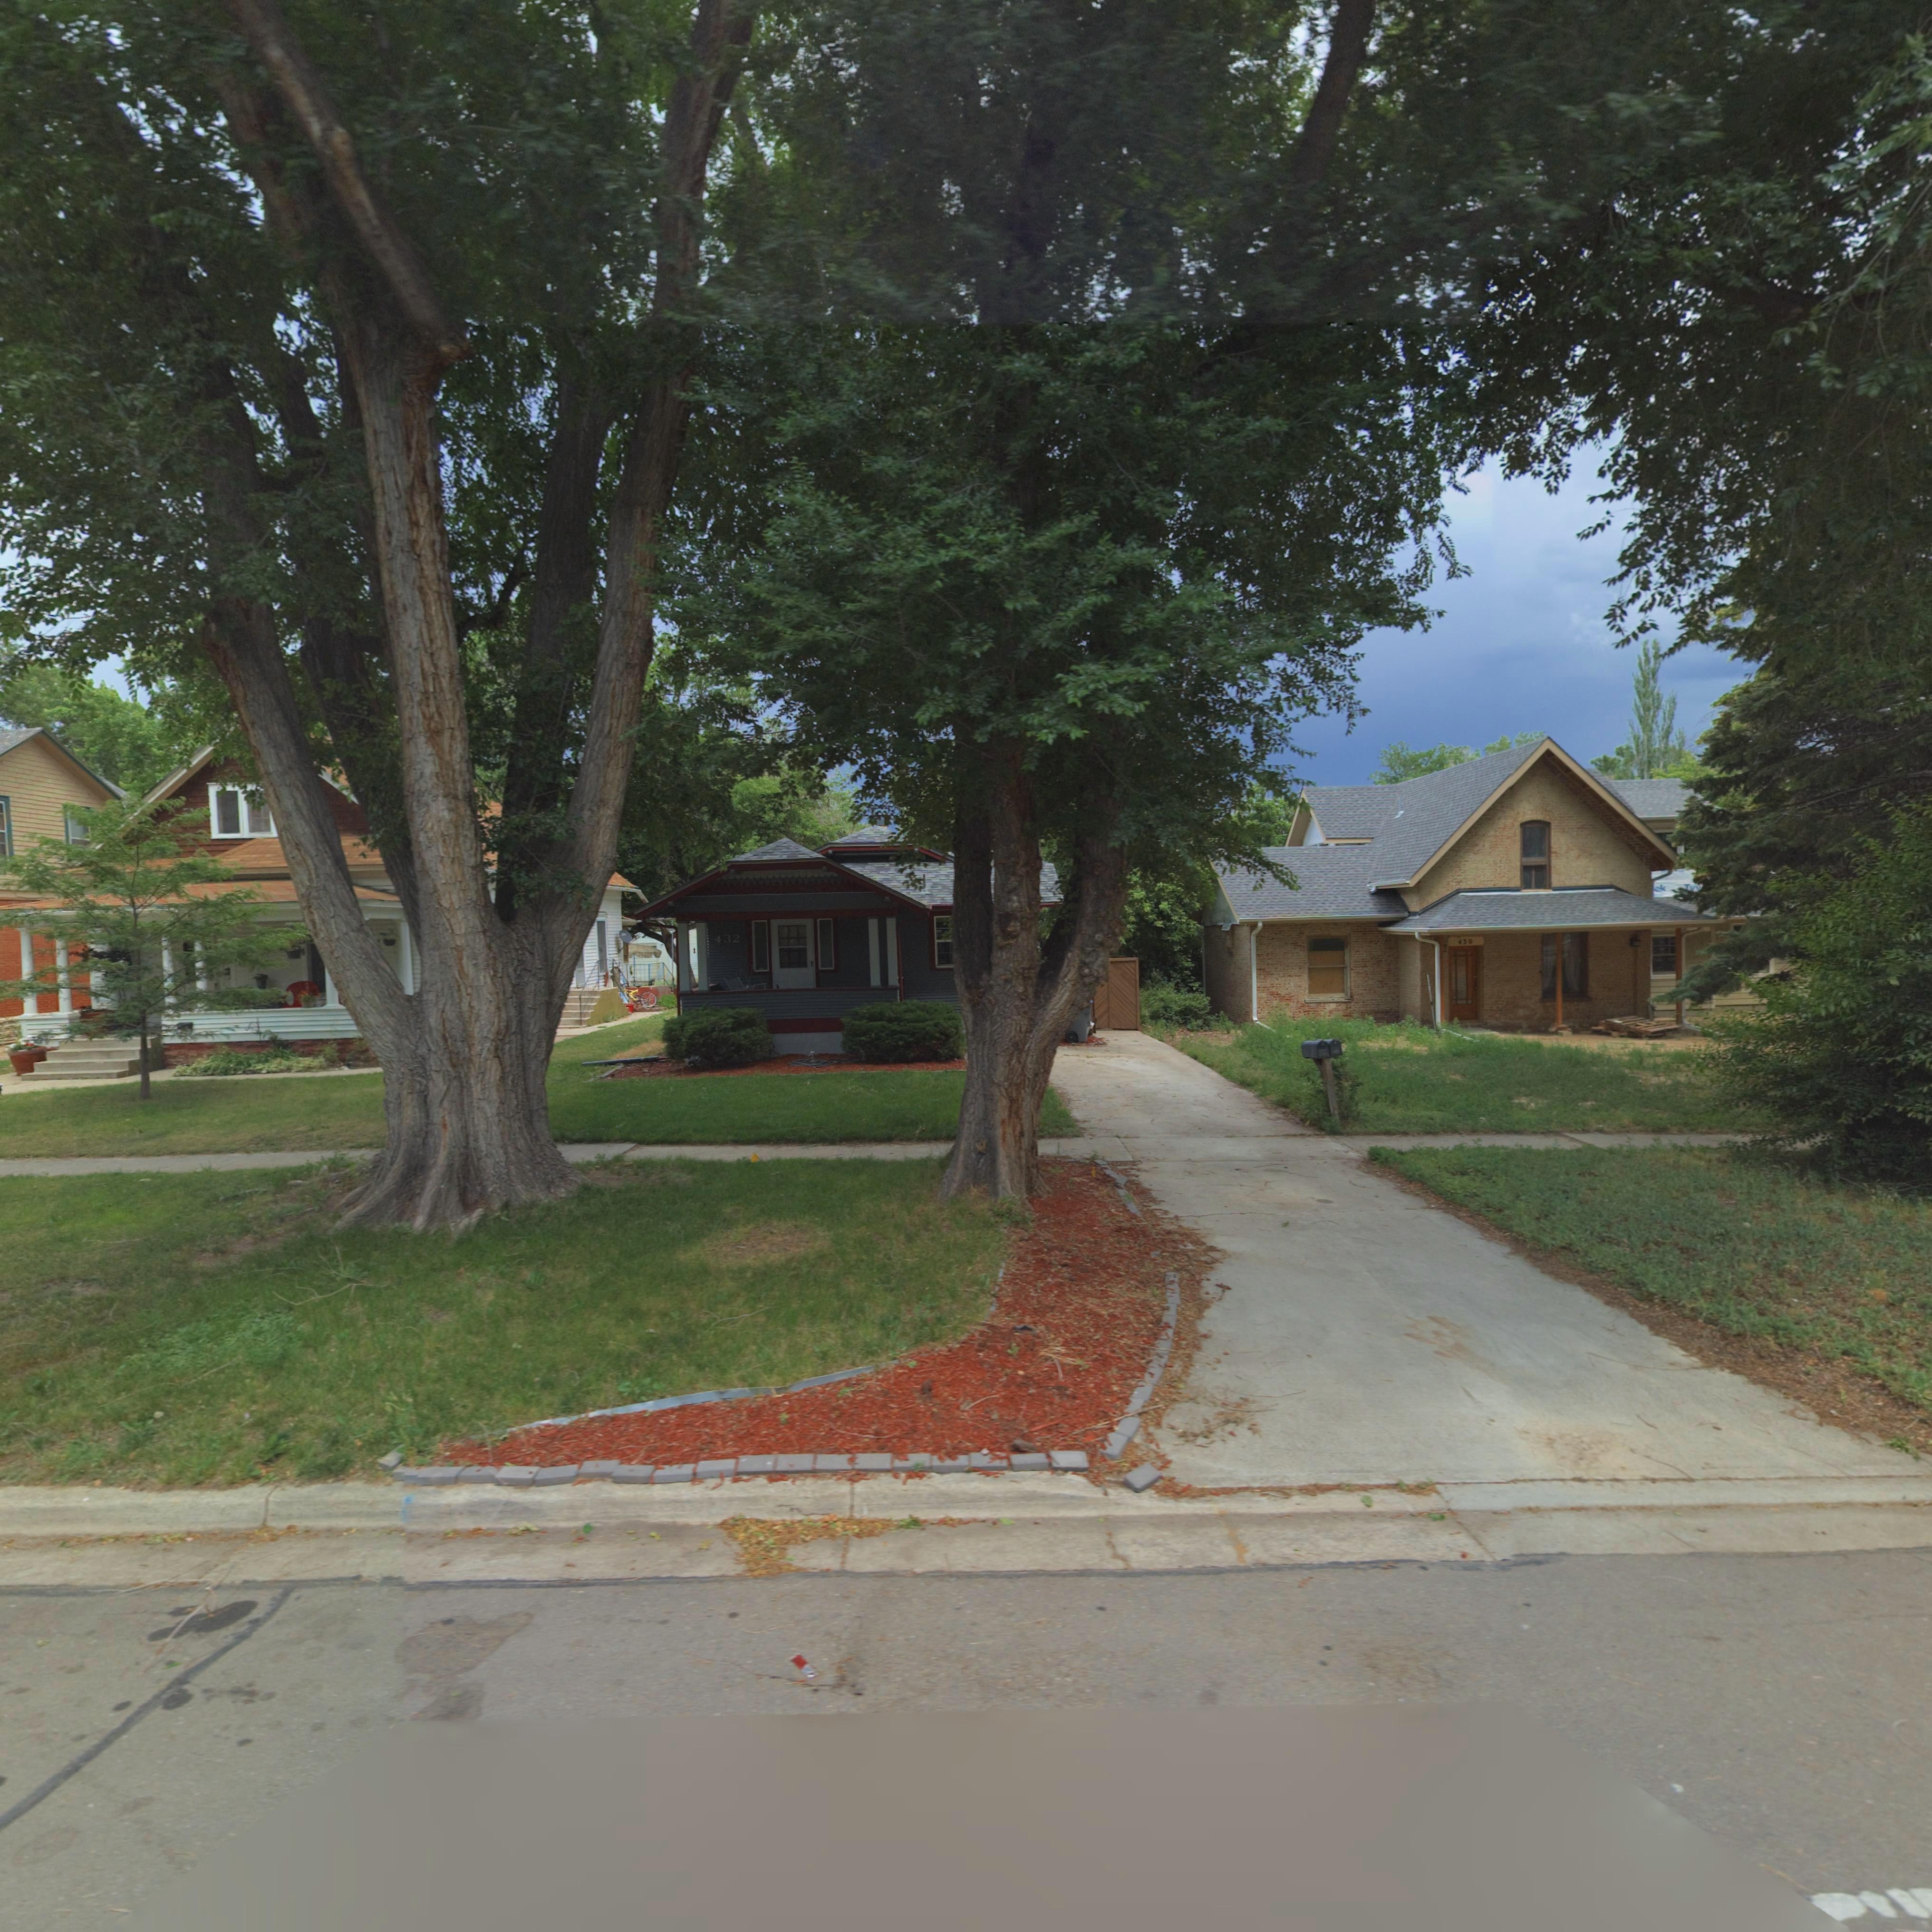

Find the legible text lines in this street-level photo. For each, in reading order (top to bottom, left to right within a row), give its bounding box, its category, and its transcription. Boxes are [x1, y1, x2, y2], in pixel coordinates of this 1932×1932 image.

[714, 933, 740, 944] StreetNumber: 432
[1457, 938, 1473, 945] StreetNumber: 430